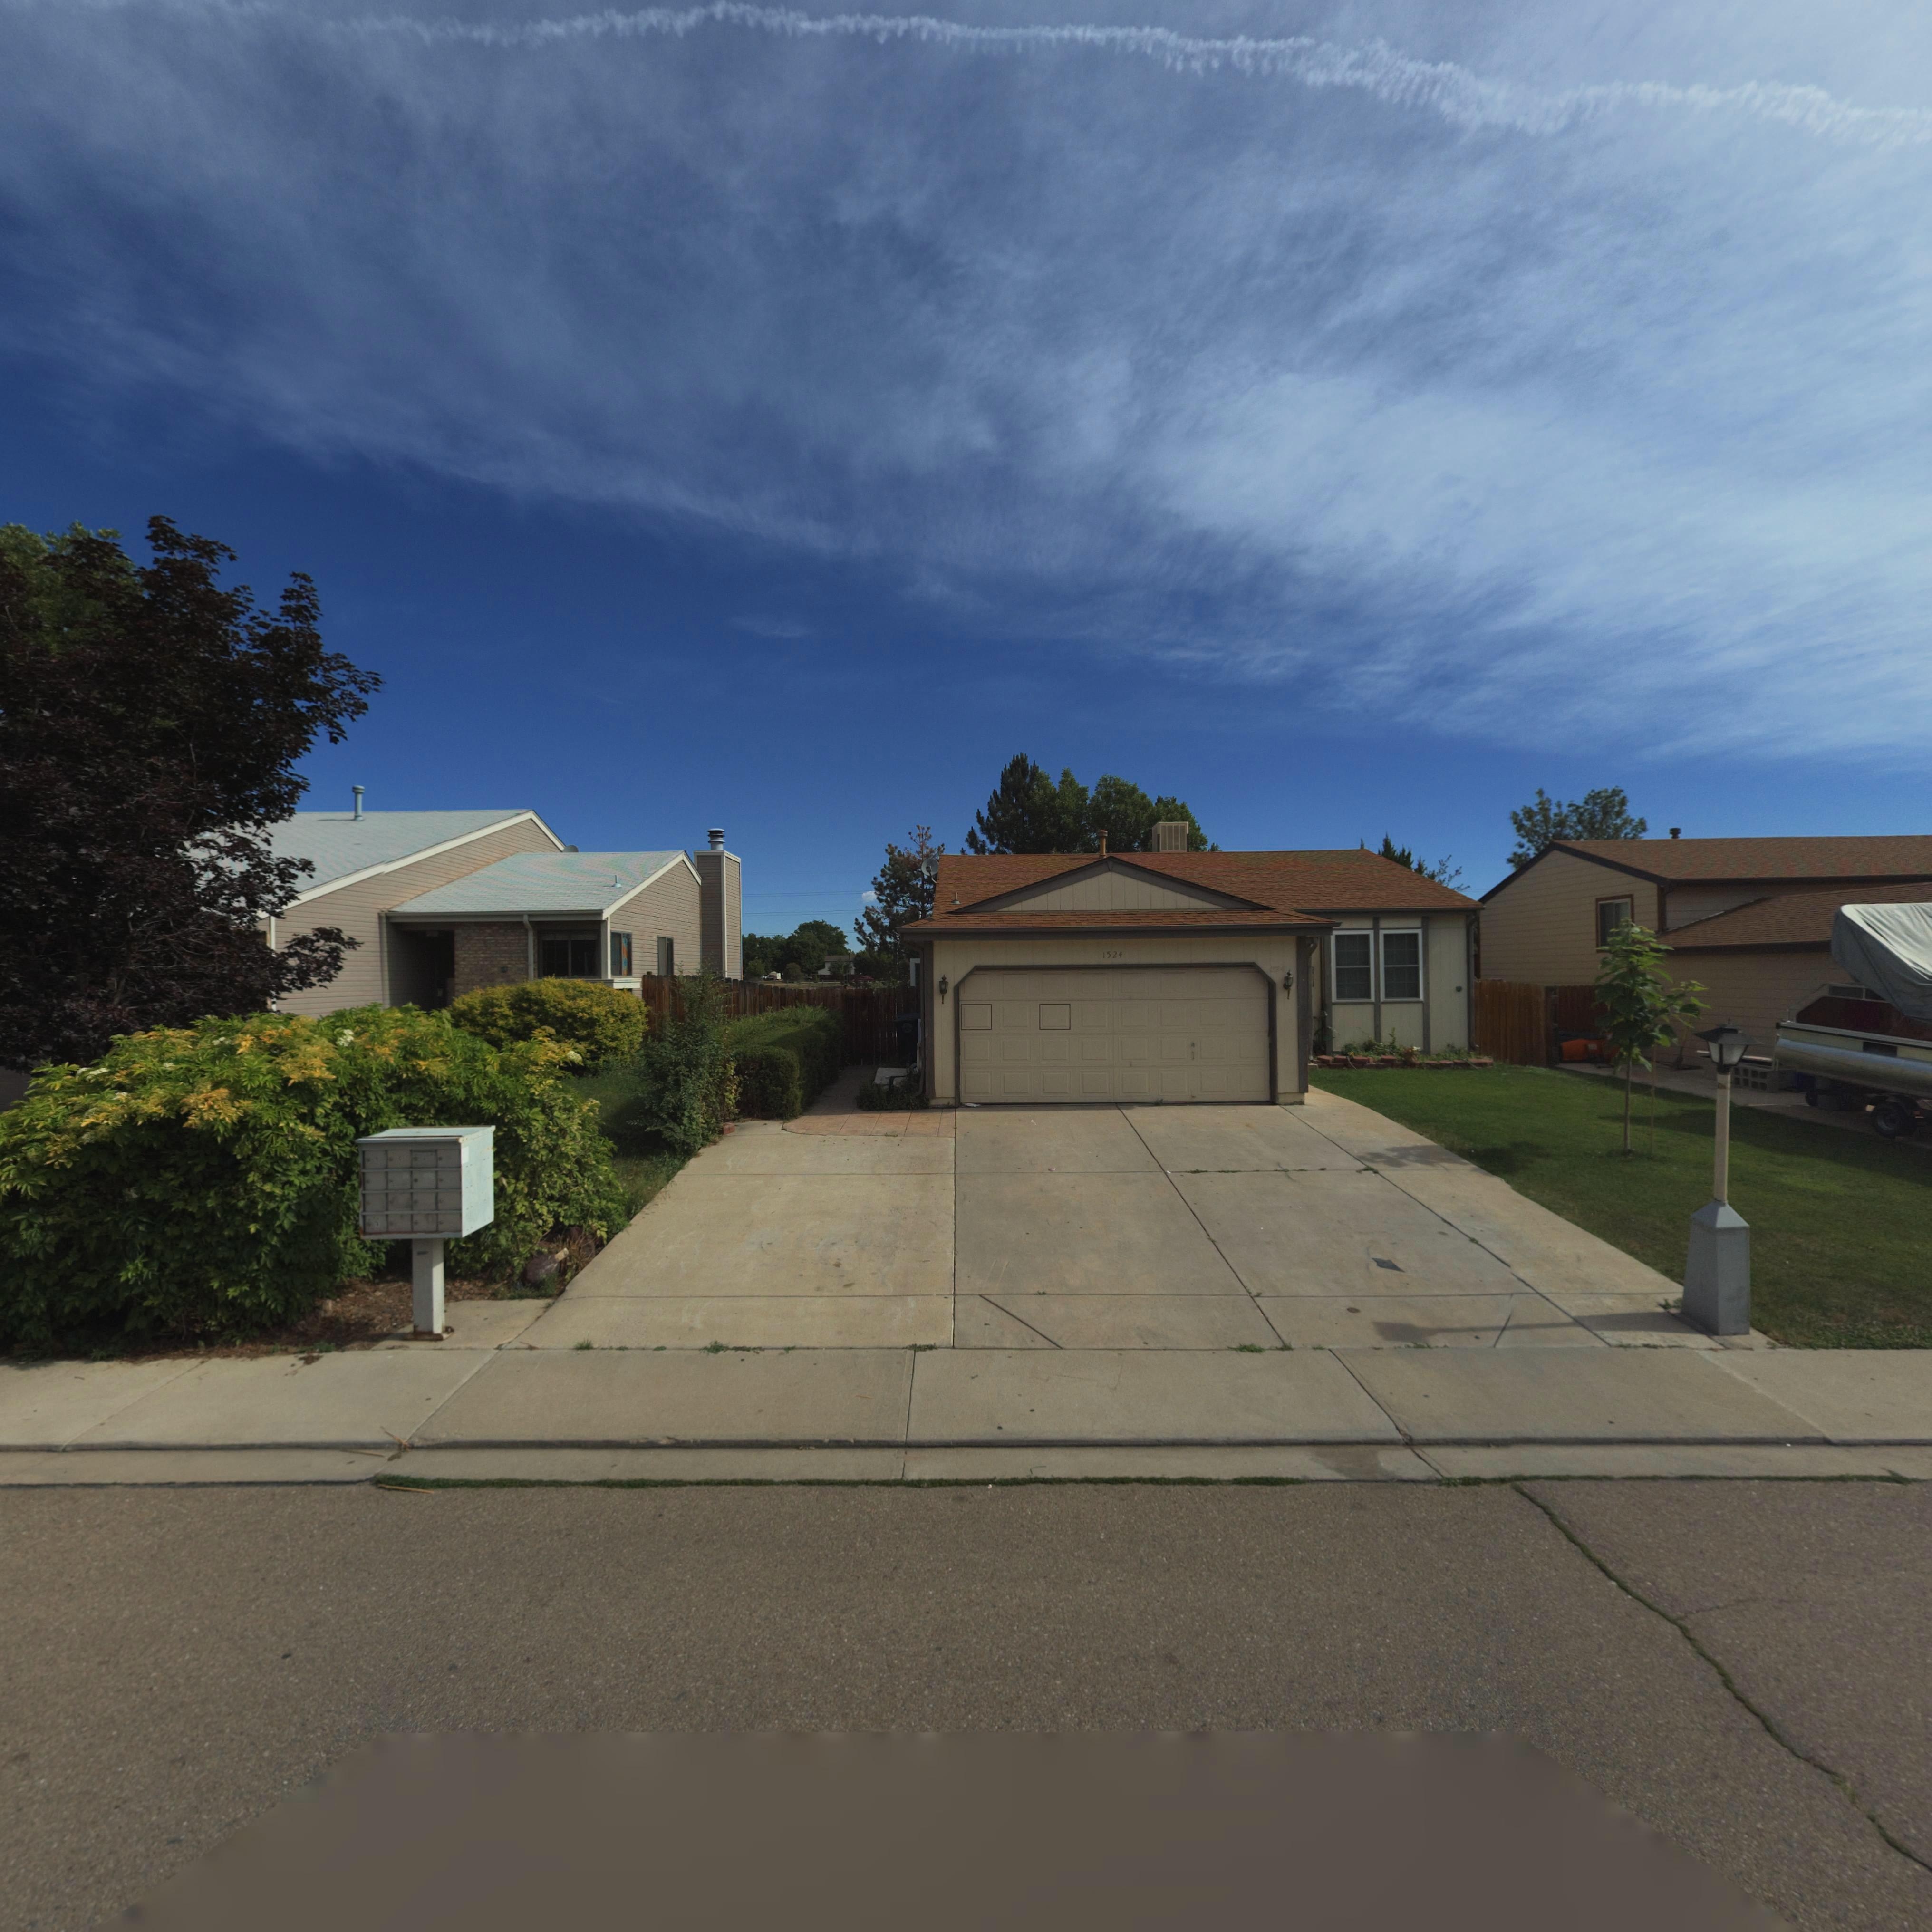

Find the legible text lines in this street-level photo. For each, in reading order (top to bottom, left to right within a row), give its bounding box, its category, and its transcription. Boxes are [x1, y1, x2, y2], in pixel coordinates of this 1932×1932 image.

[1102, 950, 1122, 958] StreetNumber: 1524